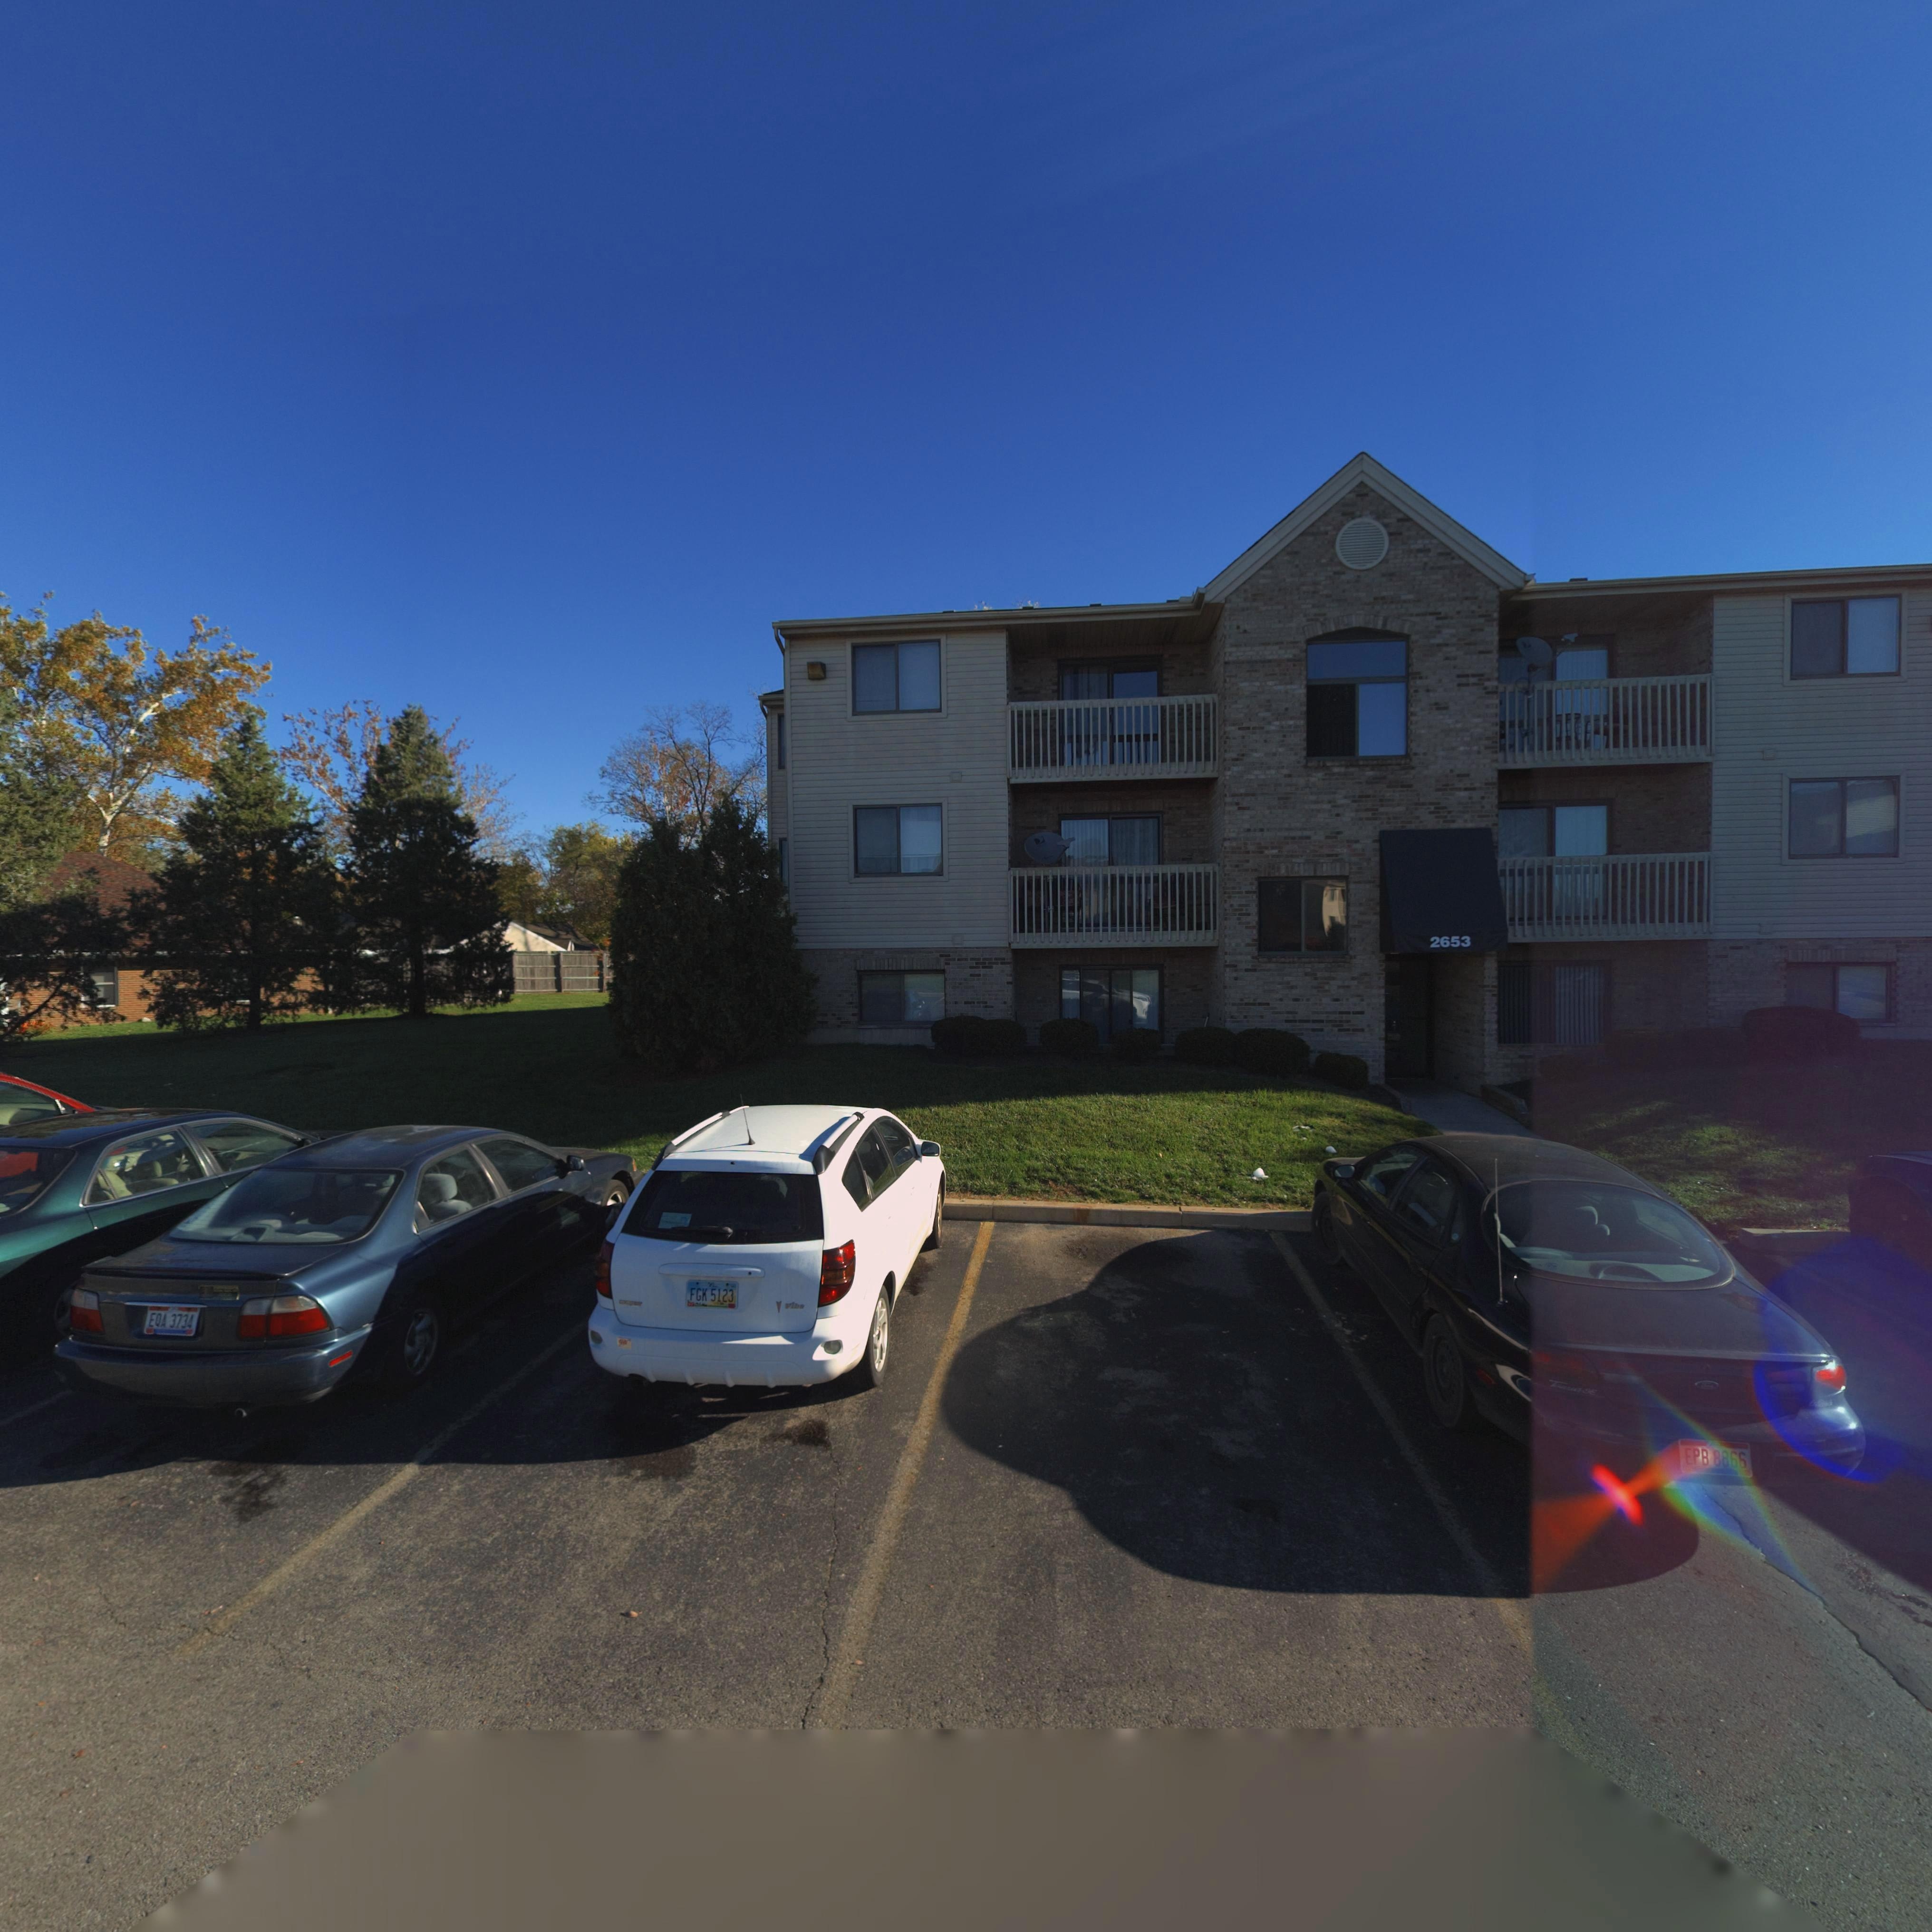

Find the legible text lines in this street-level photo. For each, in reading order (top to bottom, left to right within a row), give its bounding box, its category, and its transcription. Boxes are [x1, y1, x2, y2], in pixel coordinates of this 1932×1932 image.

[1429, 934, 1472, 949] StreetNumber: 2653